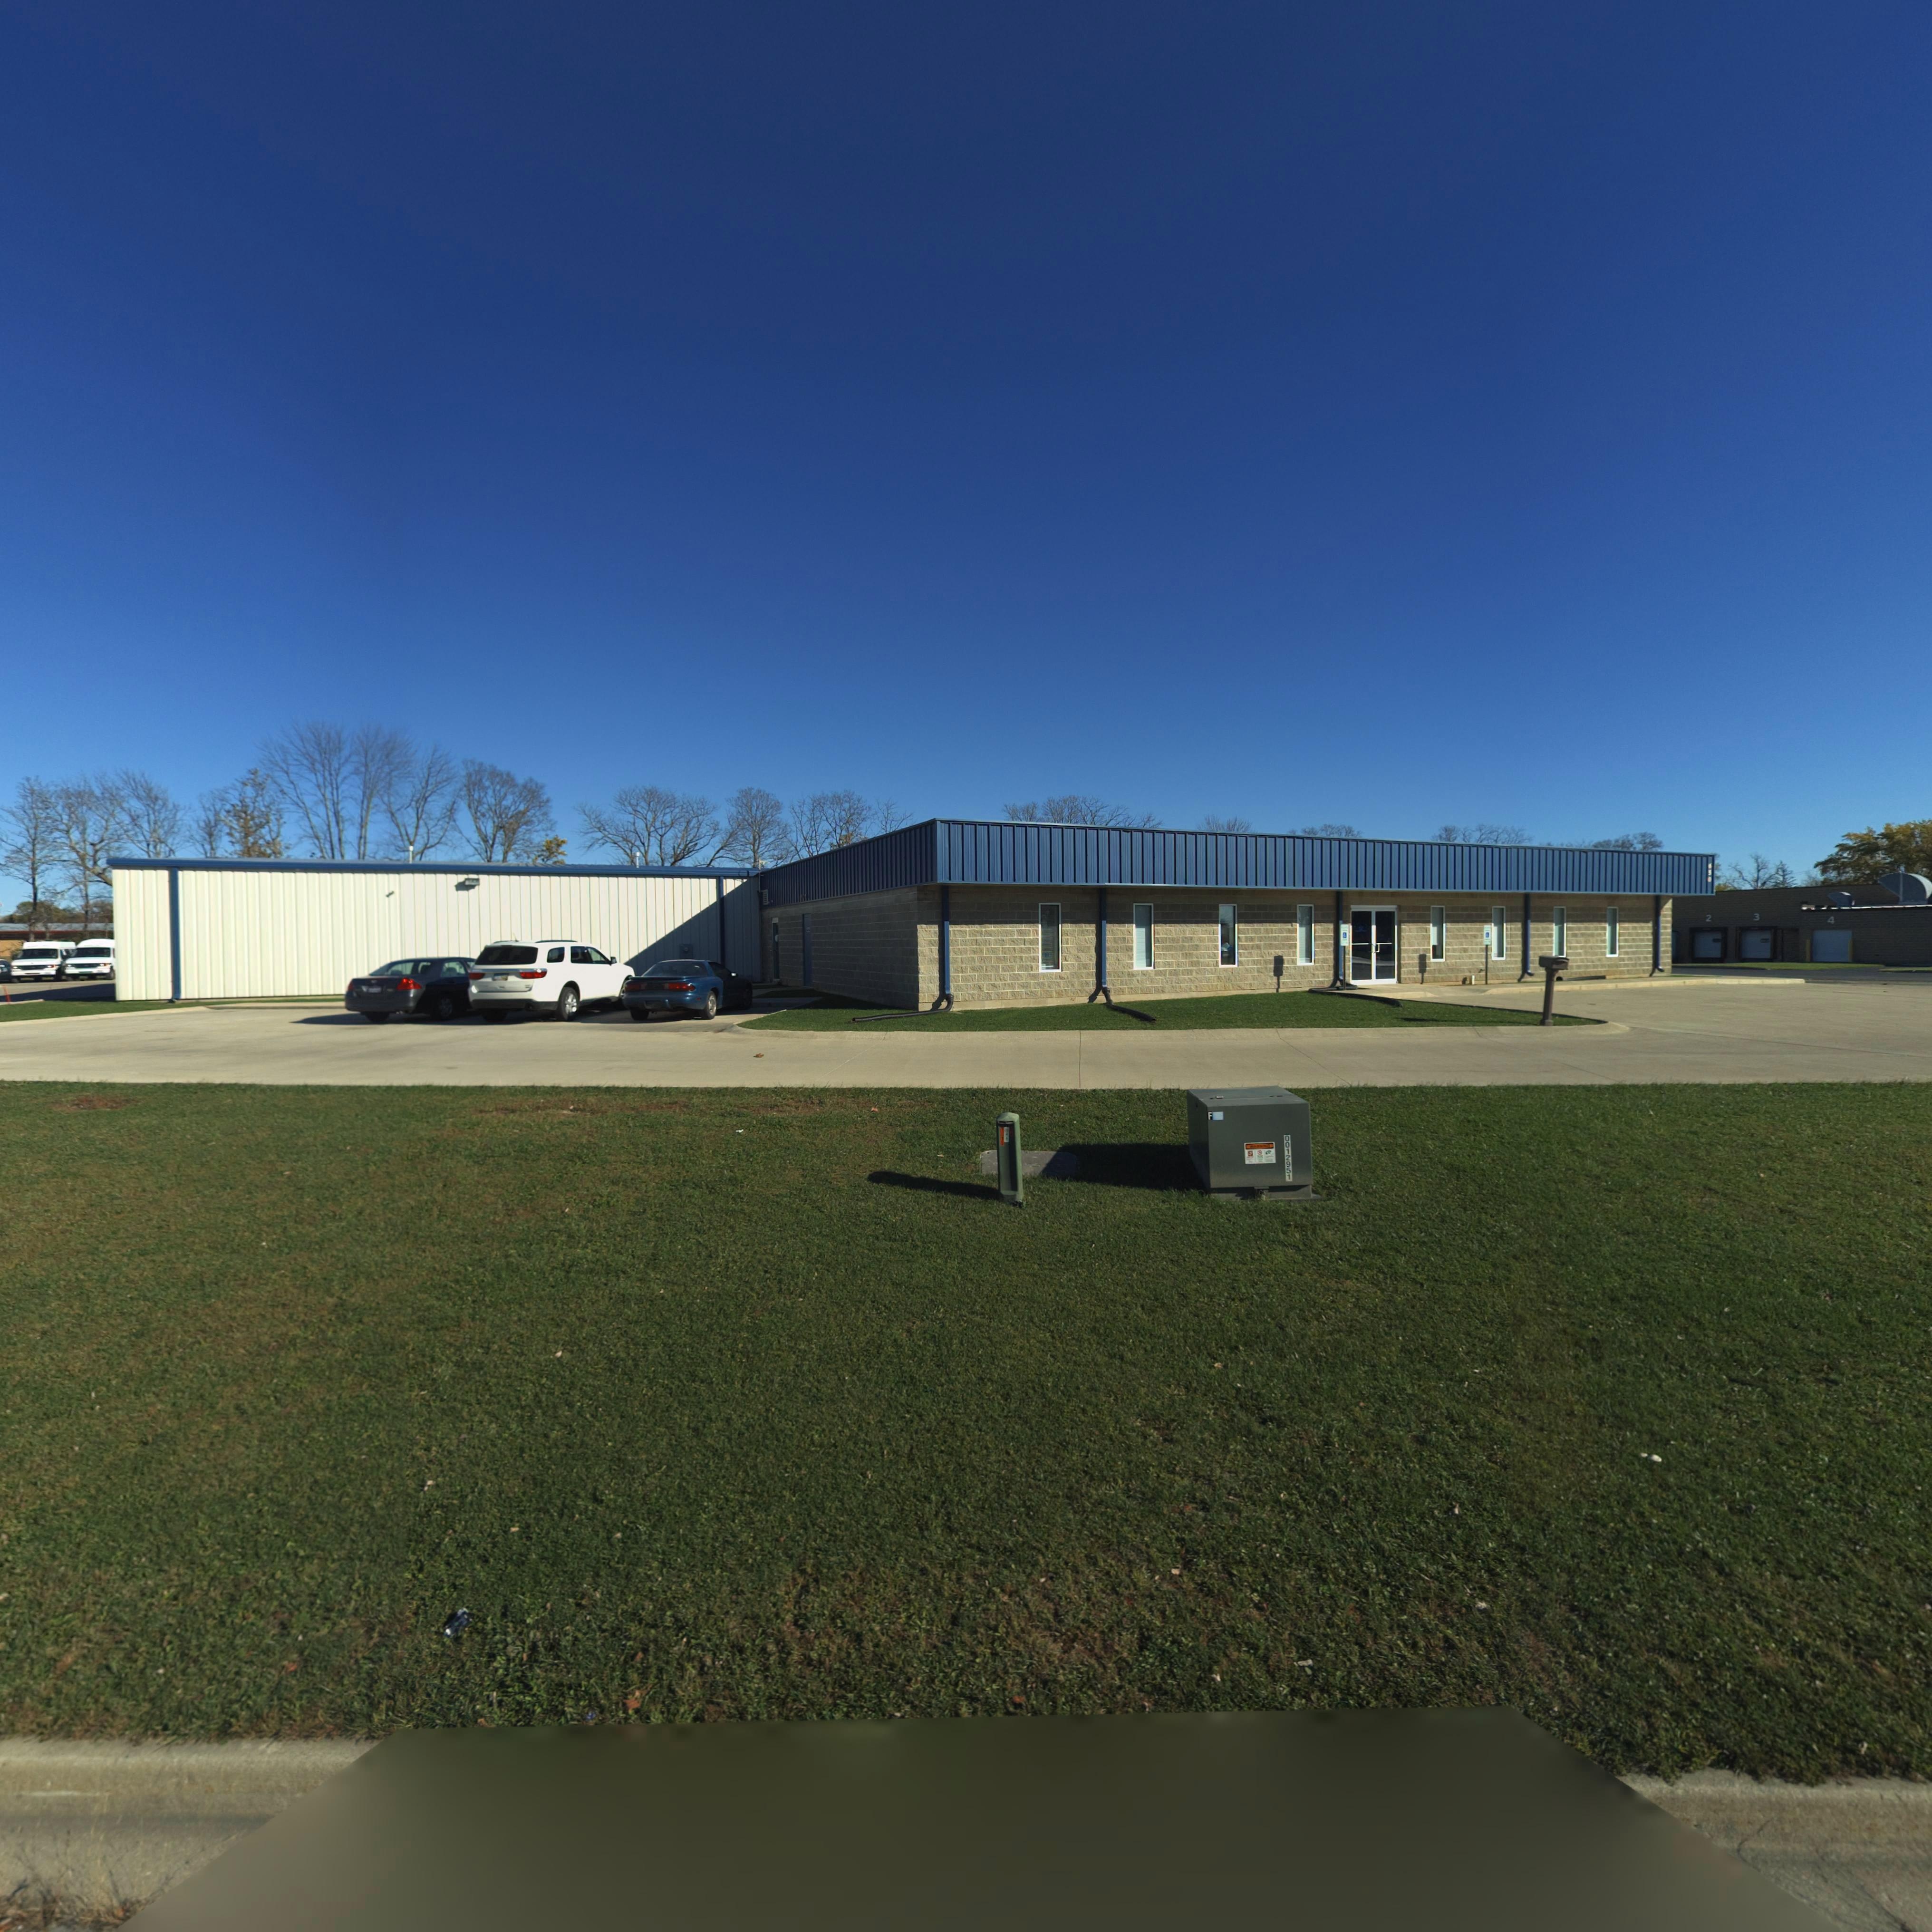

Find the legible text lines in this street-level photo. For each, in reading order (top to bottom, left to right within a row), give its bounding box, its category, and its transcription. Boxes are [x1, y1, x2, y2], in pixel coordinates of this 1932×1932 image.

[1707, 862, 1712, 882] StreetNumber: 650